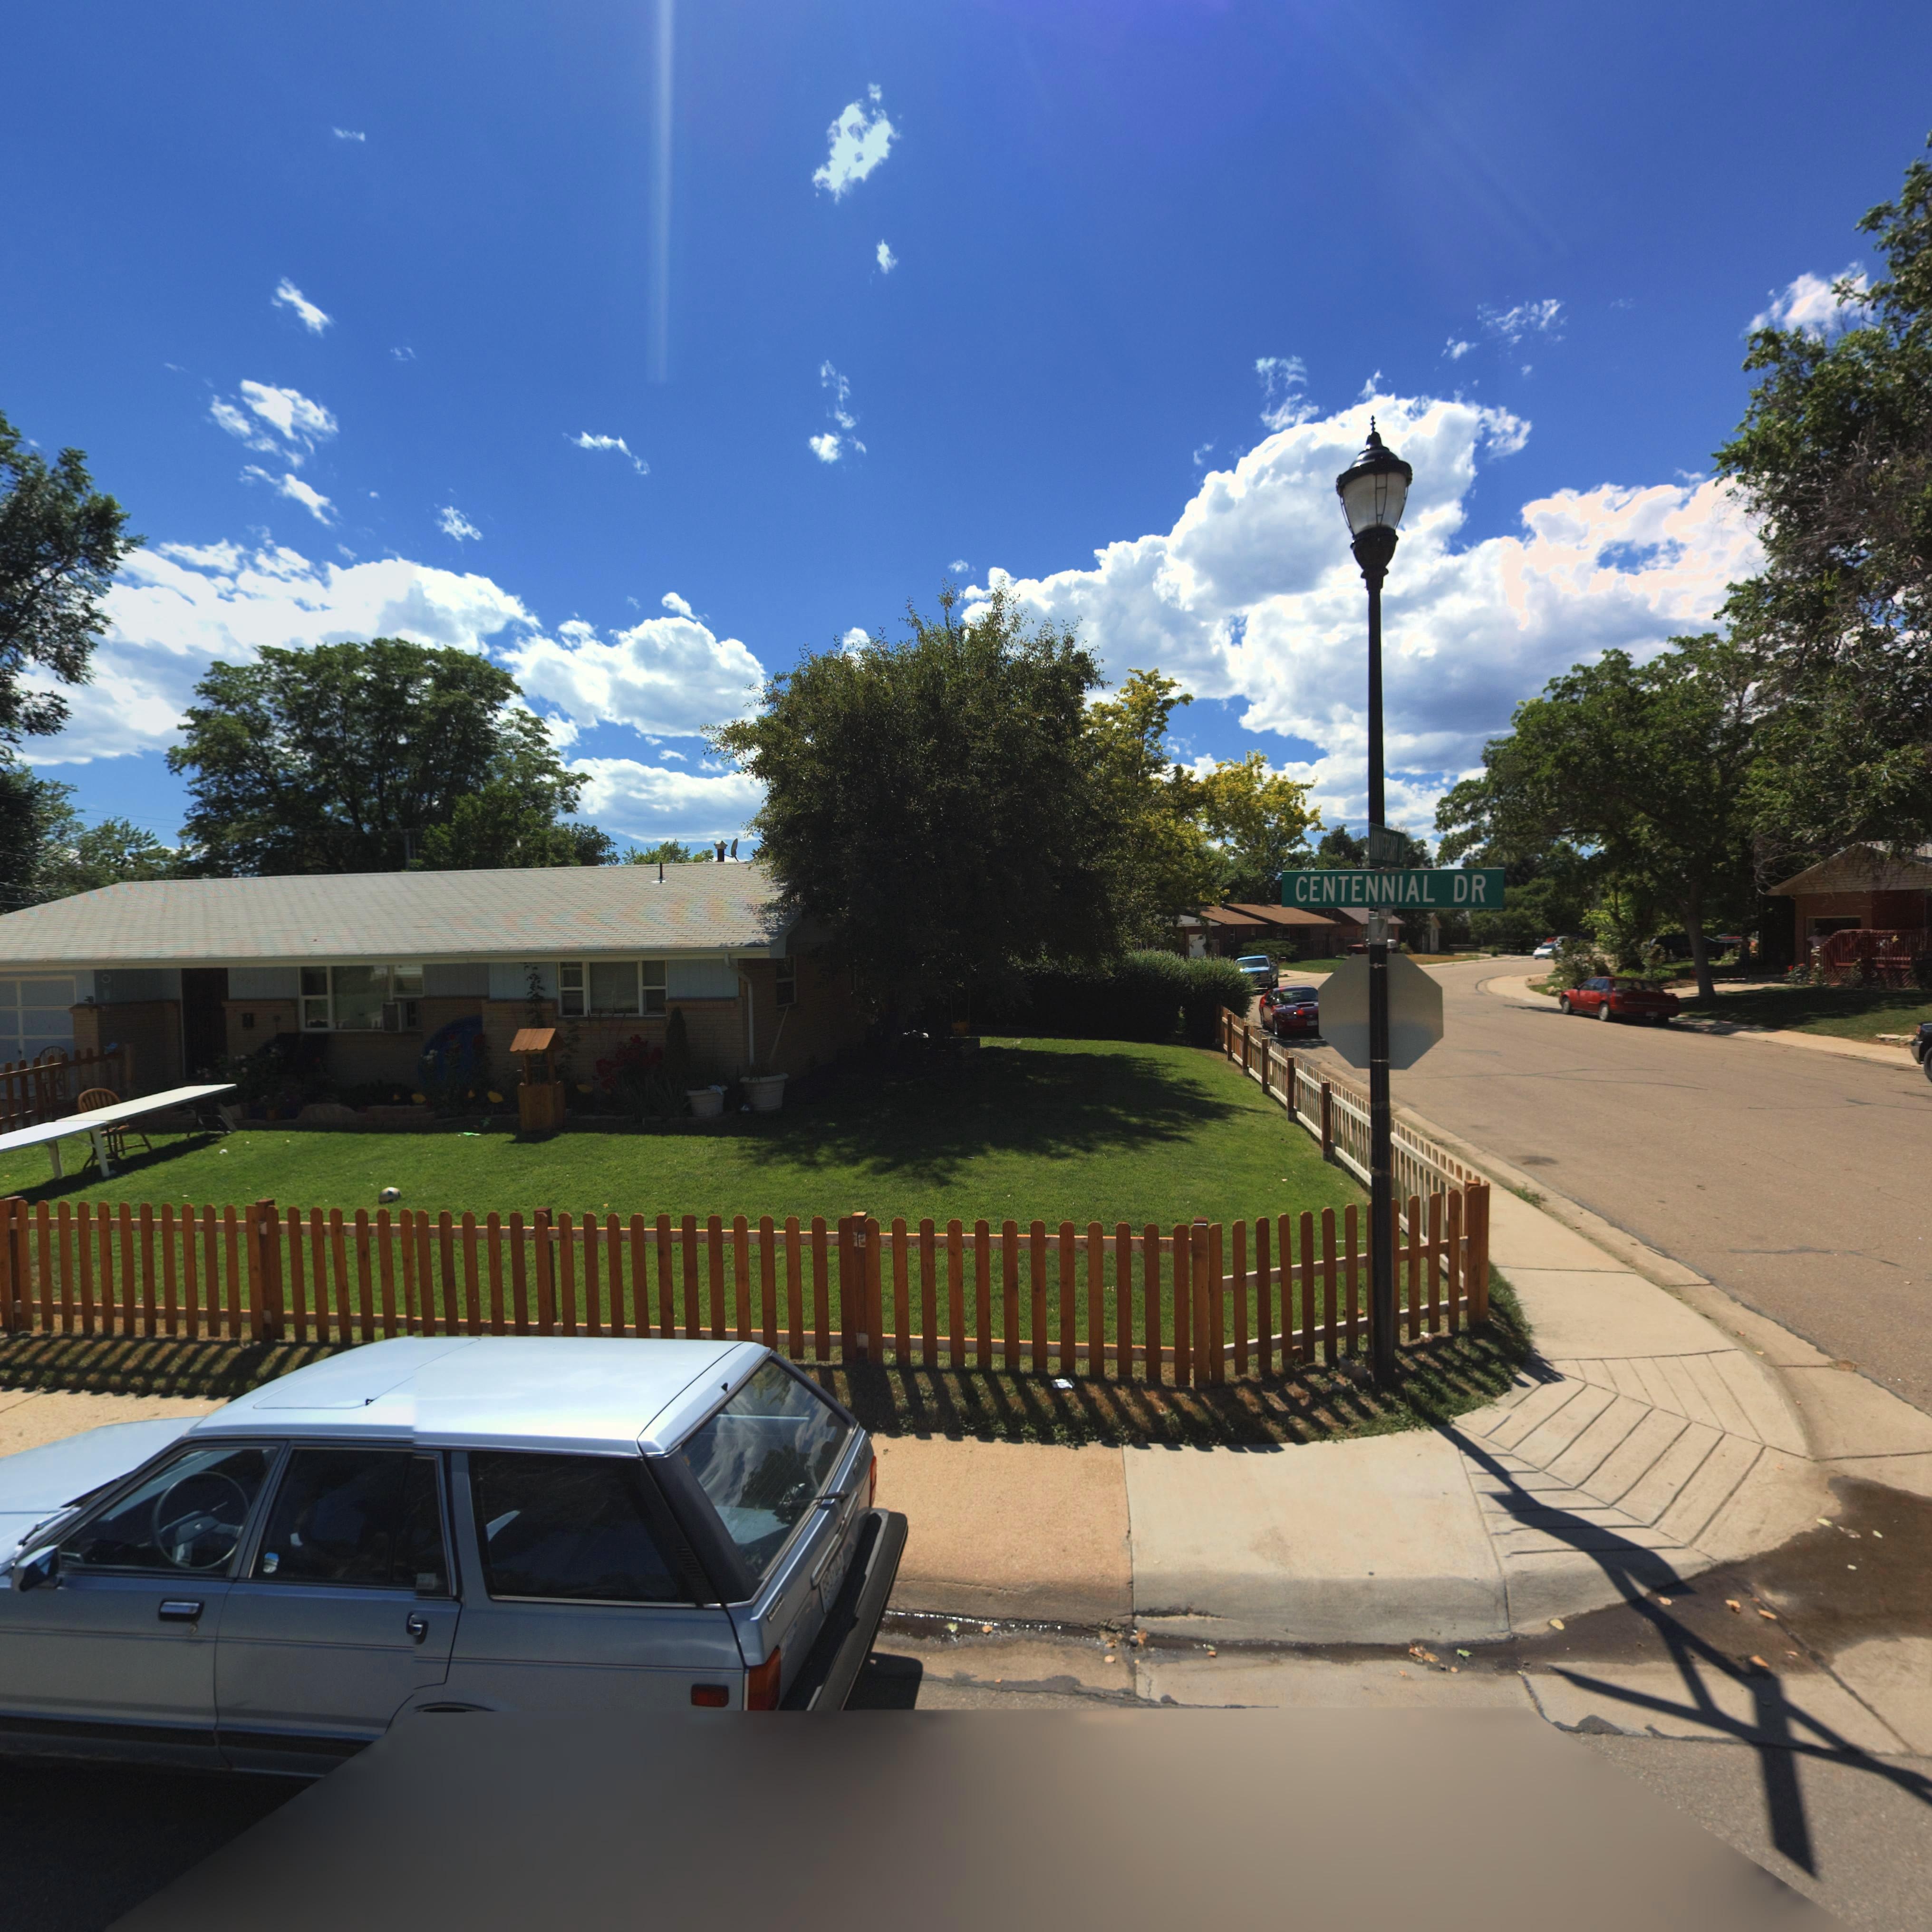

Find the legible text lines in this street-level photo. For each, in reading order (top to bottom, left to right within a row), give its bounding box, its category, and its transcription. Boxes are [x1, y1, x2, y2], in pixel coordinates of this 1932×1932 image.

[1368, 829, 1405, 864] StreetName: A****ERSA*Y L*
[1294, 874, 1487, 903] StreetName: CENTENNIAL DR